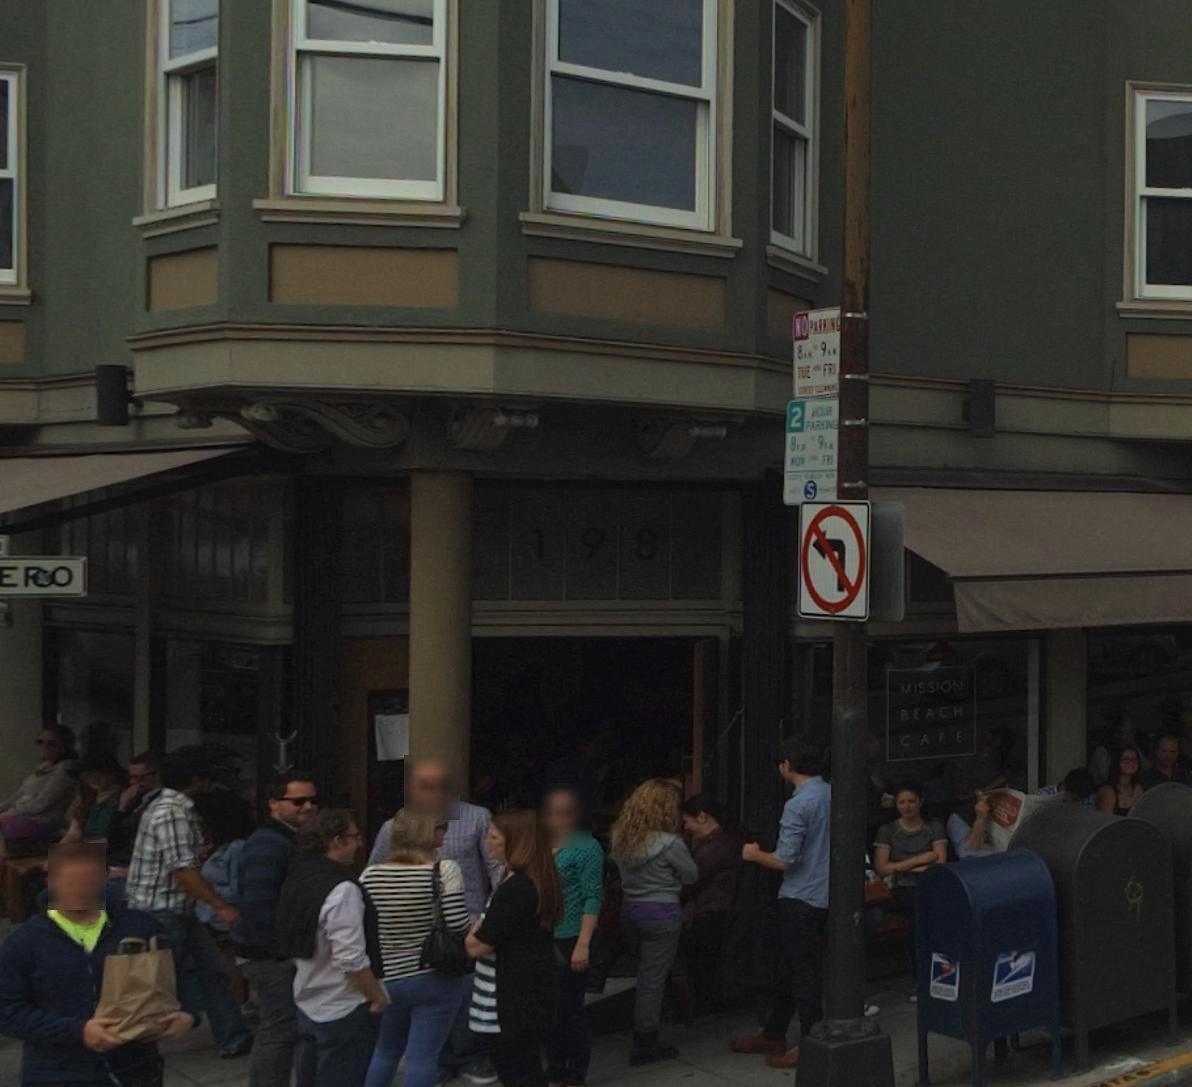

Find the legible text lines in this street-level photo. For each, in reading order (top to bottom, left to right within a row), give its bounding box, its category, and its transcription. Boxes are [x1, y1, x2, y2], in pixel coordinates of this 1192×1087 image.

[793, 311, 842, 342] None: NO PARKING
[795, 341, 805, 362] None: 8
[818, 337, 829, 360] None: 9
[788, 403, 804, 431] None: 2
[787, 432, 799, 455] None: 8
[814, 431, 827, 452] None: 9
[803, 480, 818, 501] None: S
[530, 526, 659, 562] StreetNumber: 198
[49, 564, 75, 590] StreetName: O
[898, 677, 965, 698] BusinessName: MISSION
[898, 701, 966, 724] BusinessName: BEACH
[897, 728, 964, 750] BusinessName: CAFE